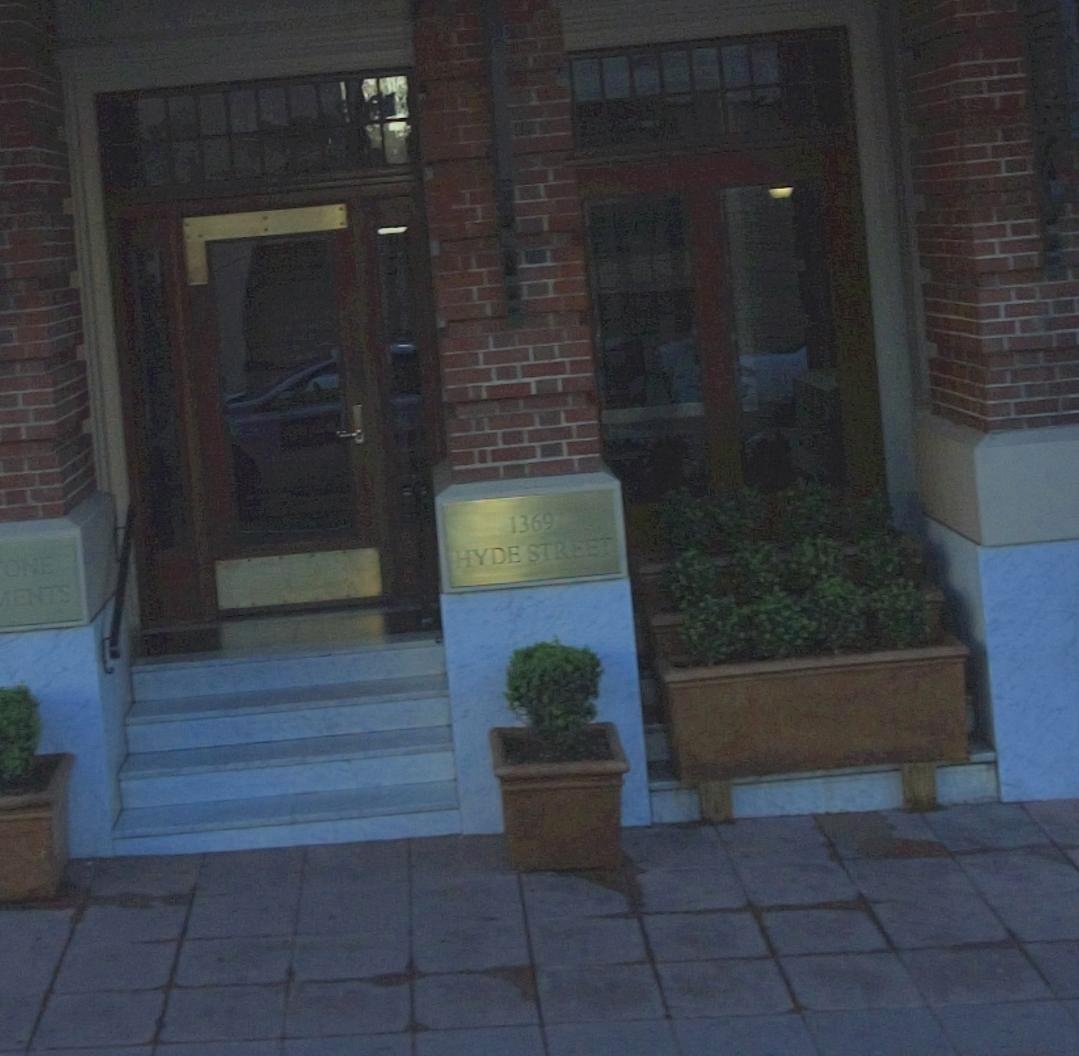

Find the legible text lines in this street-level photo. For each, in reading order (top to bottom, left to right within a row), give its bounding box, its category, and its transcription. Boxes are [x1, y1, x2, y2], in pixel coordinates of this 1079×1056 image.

[507, 510, 556, 537] StreetNumber: 1369
[454, 535, 613, 570] StreetName: HYDE STREET
[4, 554, 56, 580] BusinessName: ONE
[12, 582, 74, 610] BusinessName: ENTS